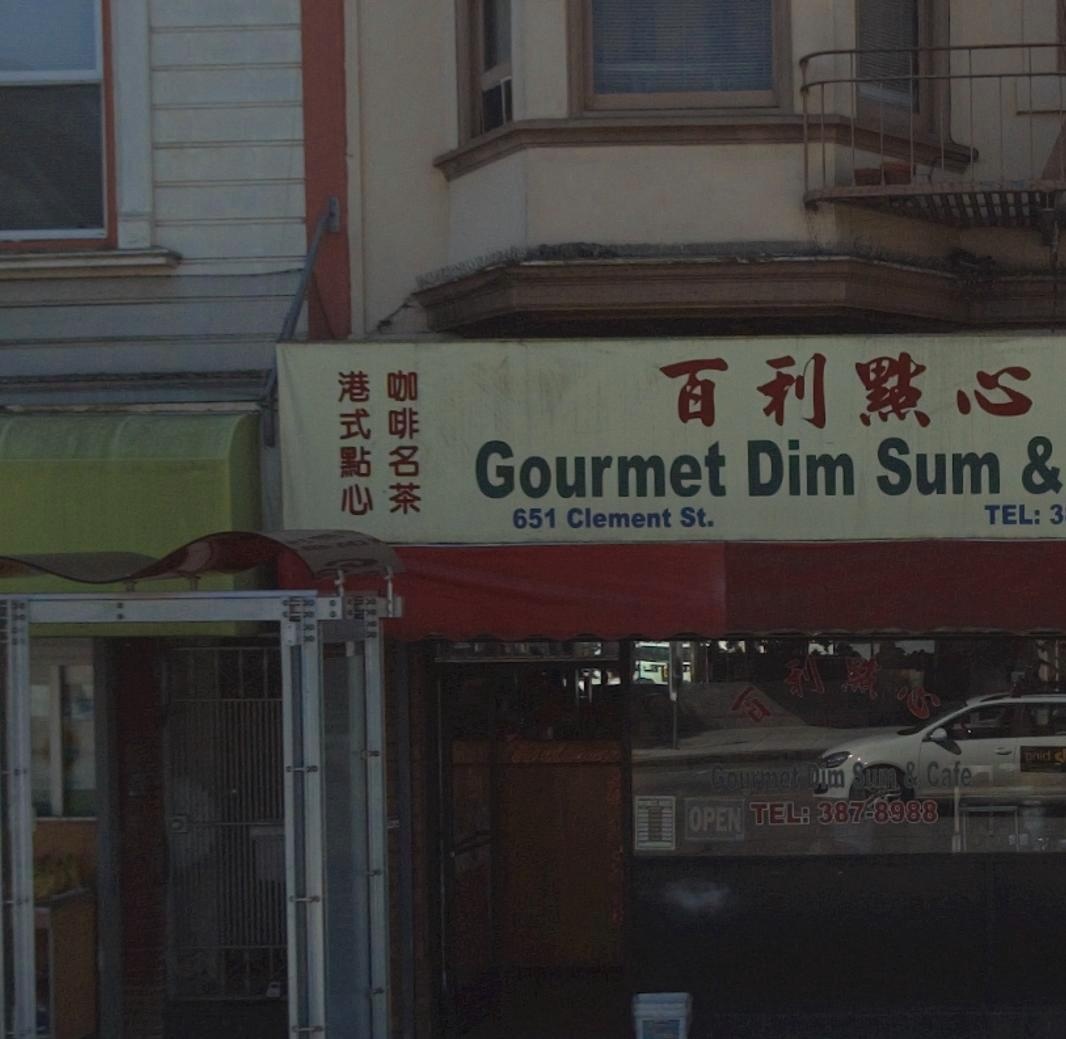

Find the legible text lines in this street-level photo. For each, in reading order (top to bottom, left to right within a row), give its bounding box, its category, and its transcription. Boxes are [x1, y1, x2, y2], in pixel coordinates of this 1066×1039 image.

[472, 435, 1066, 499] BusinessName: Gourmet Dim Sum &
[513, 507, 556, 530] StreetNumber: 651
[564, 506, 715, 528] StreetName: Clement St.
[980, 501, 1063, 525] None: TEL:3
[708, 759, 973, 792] BusinessName: Gourmet Dim Sum & Cafe
[687, 804, 743, 835] None: OPEN
[748, 799, 941, 825] None: TEL:387-8988